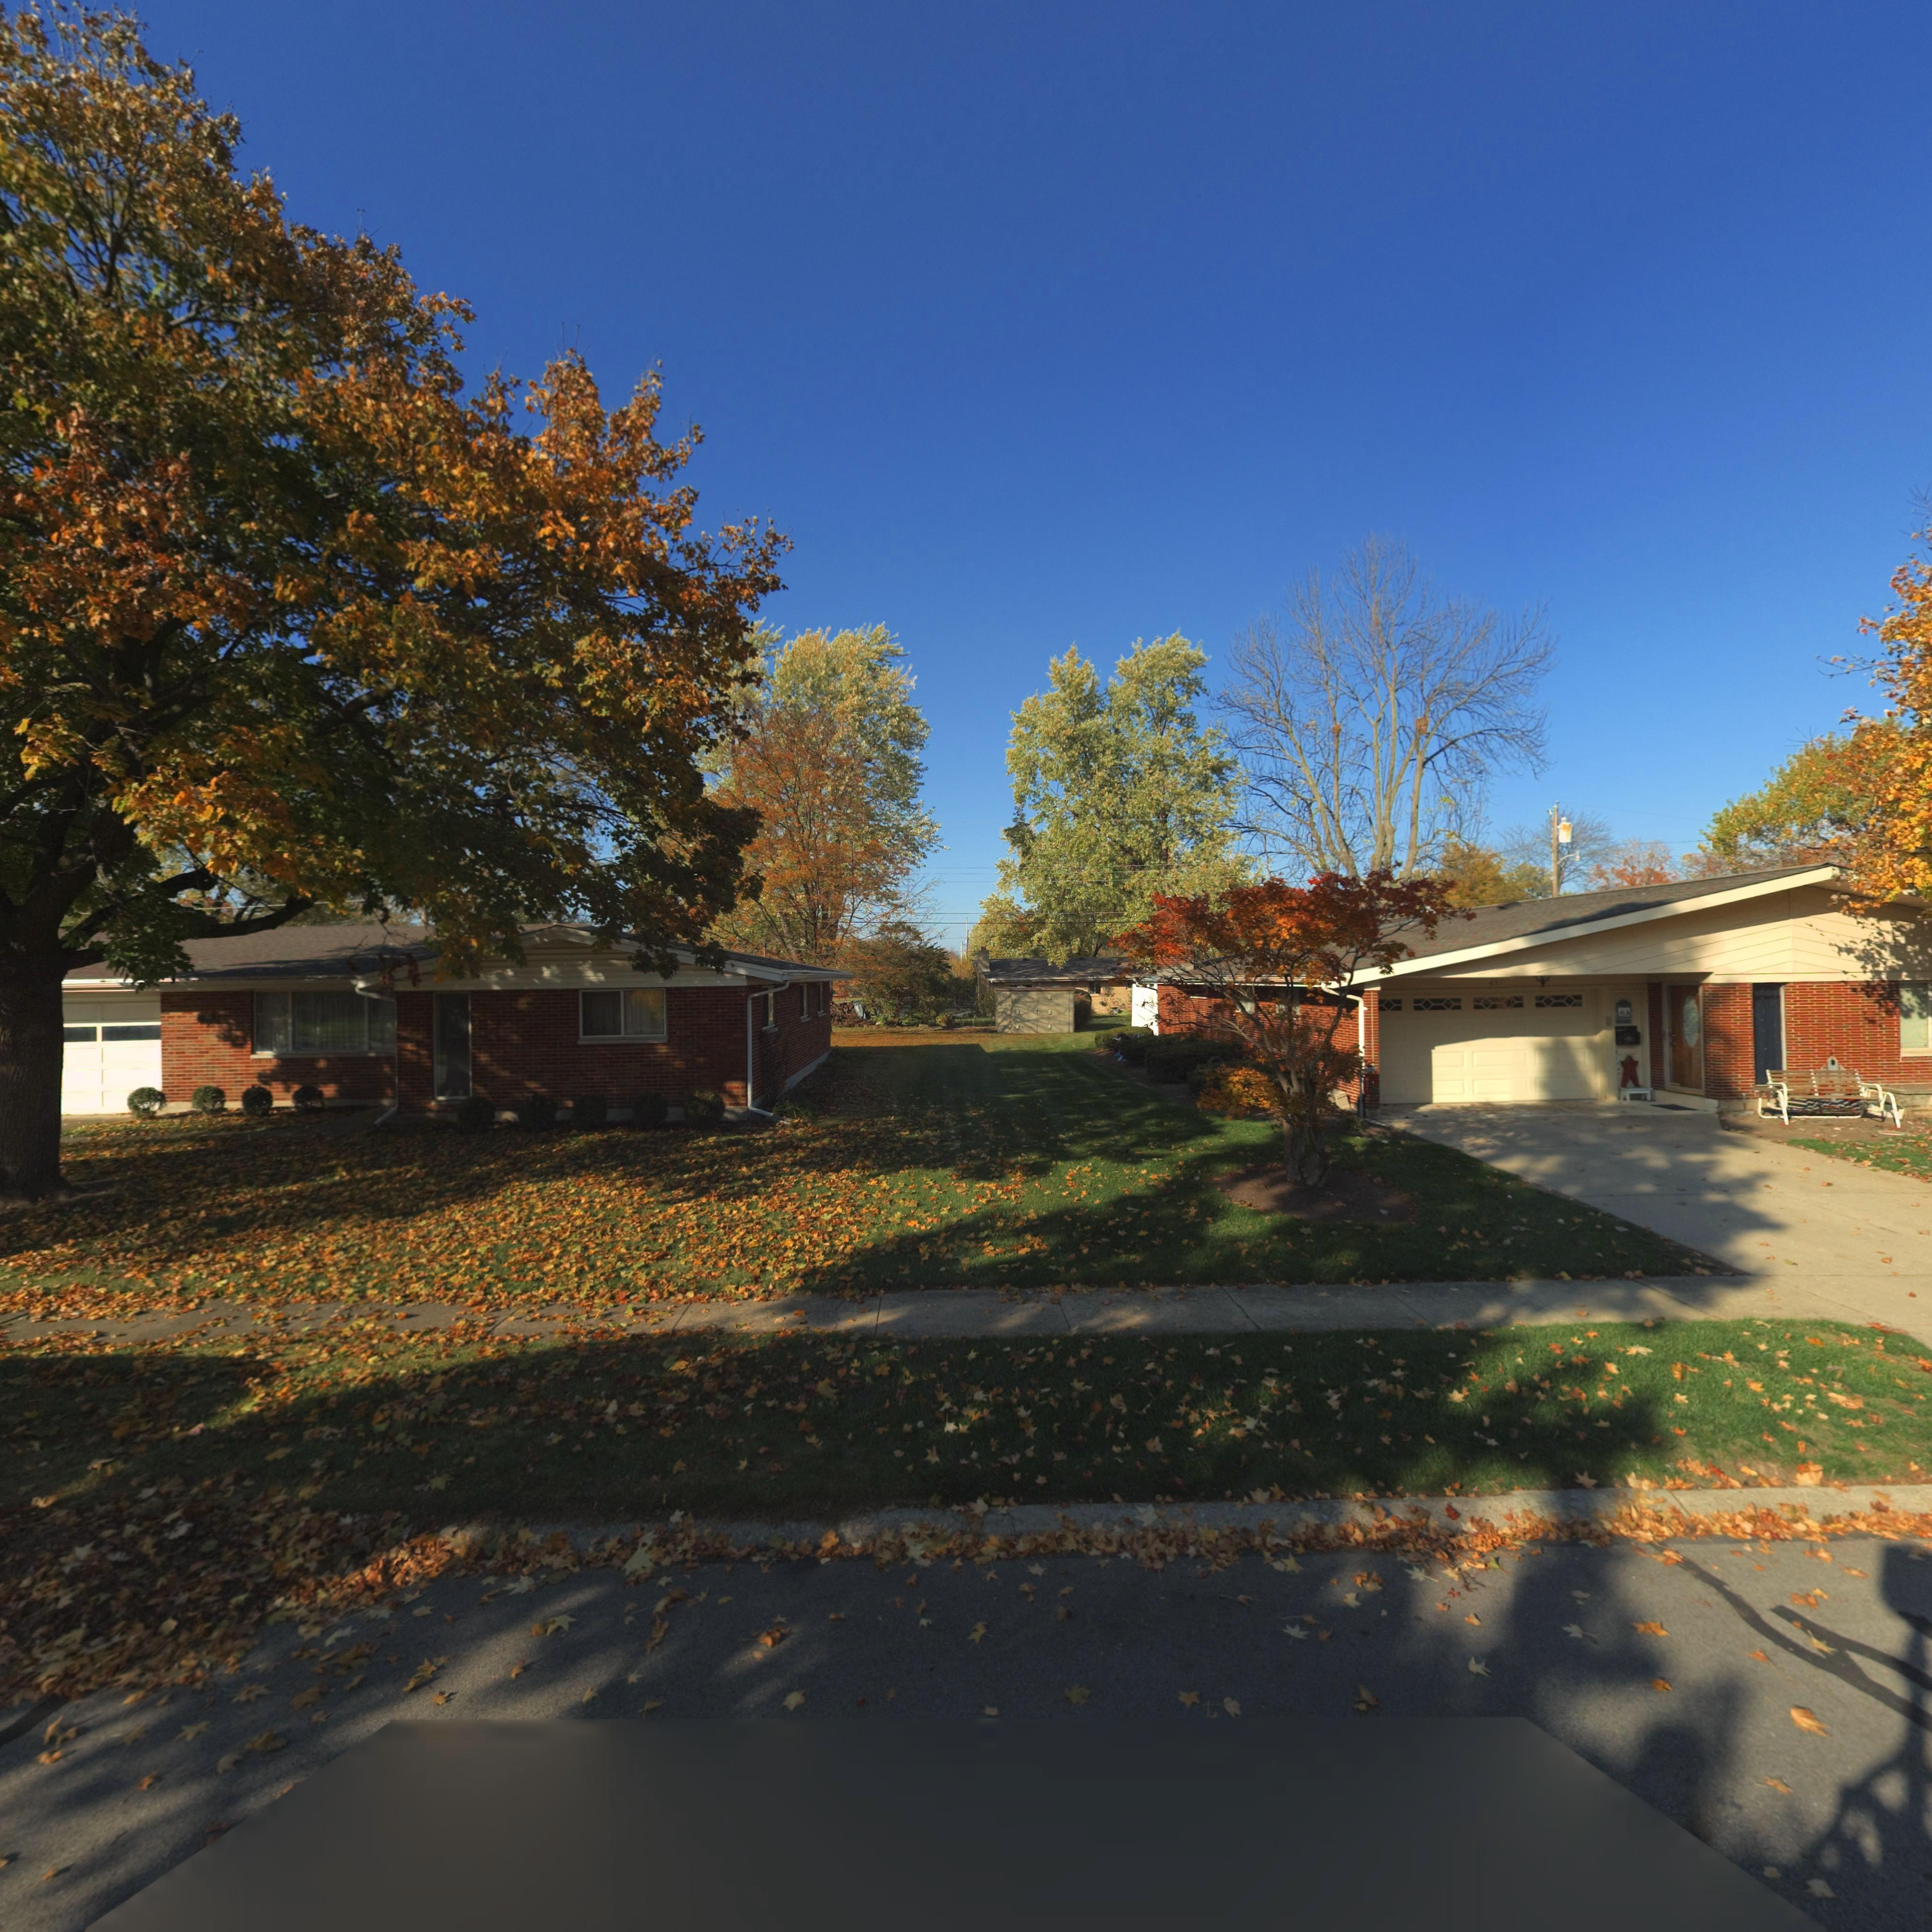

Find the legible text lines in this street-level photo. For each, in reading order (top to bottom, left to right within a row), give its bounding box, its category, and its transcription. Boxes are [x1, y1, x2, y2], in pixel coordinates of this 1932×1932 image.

[1489, 978, 1502, 985] StreetNumber: 651